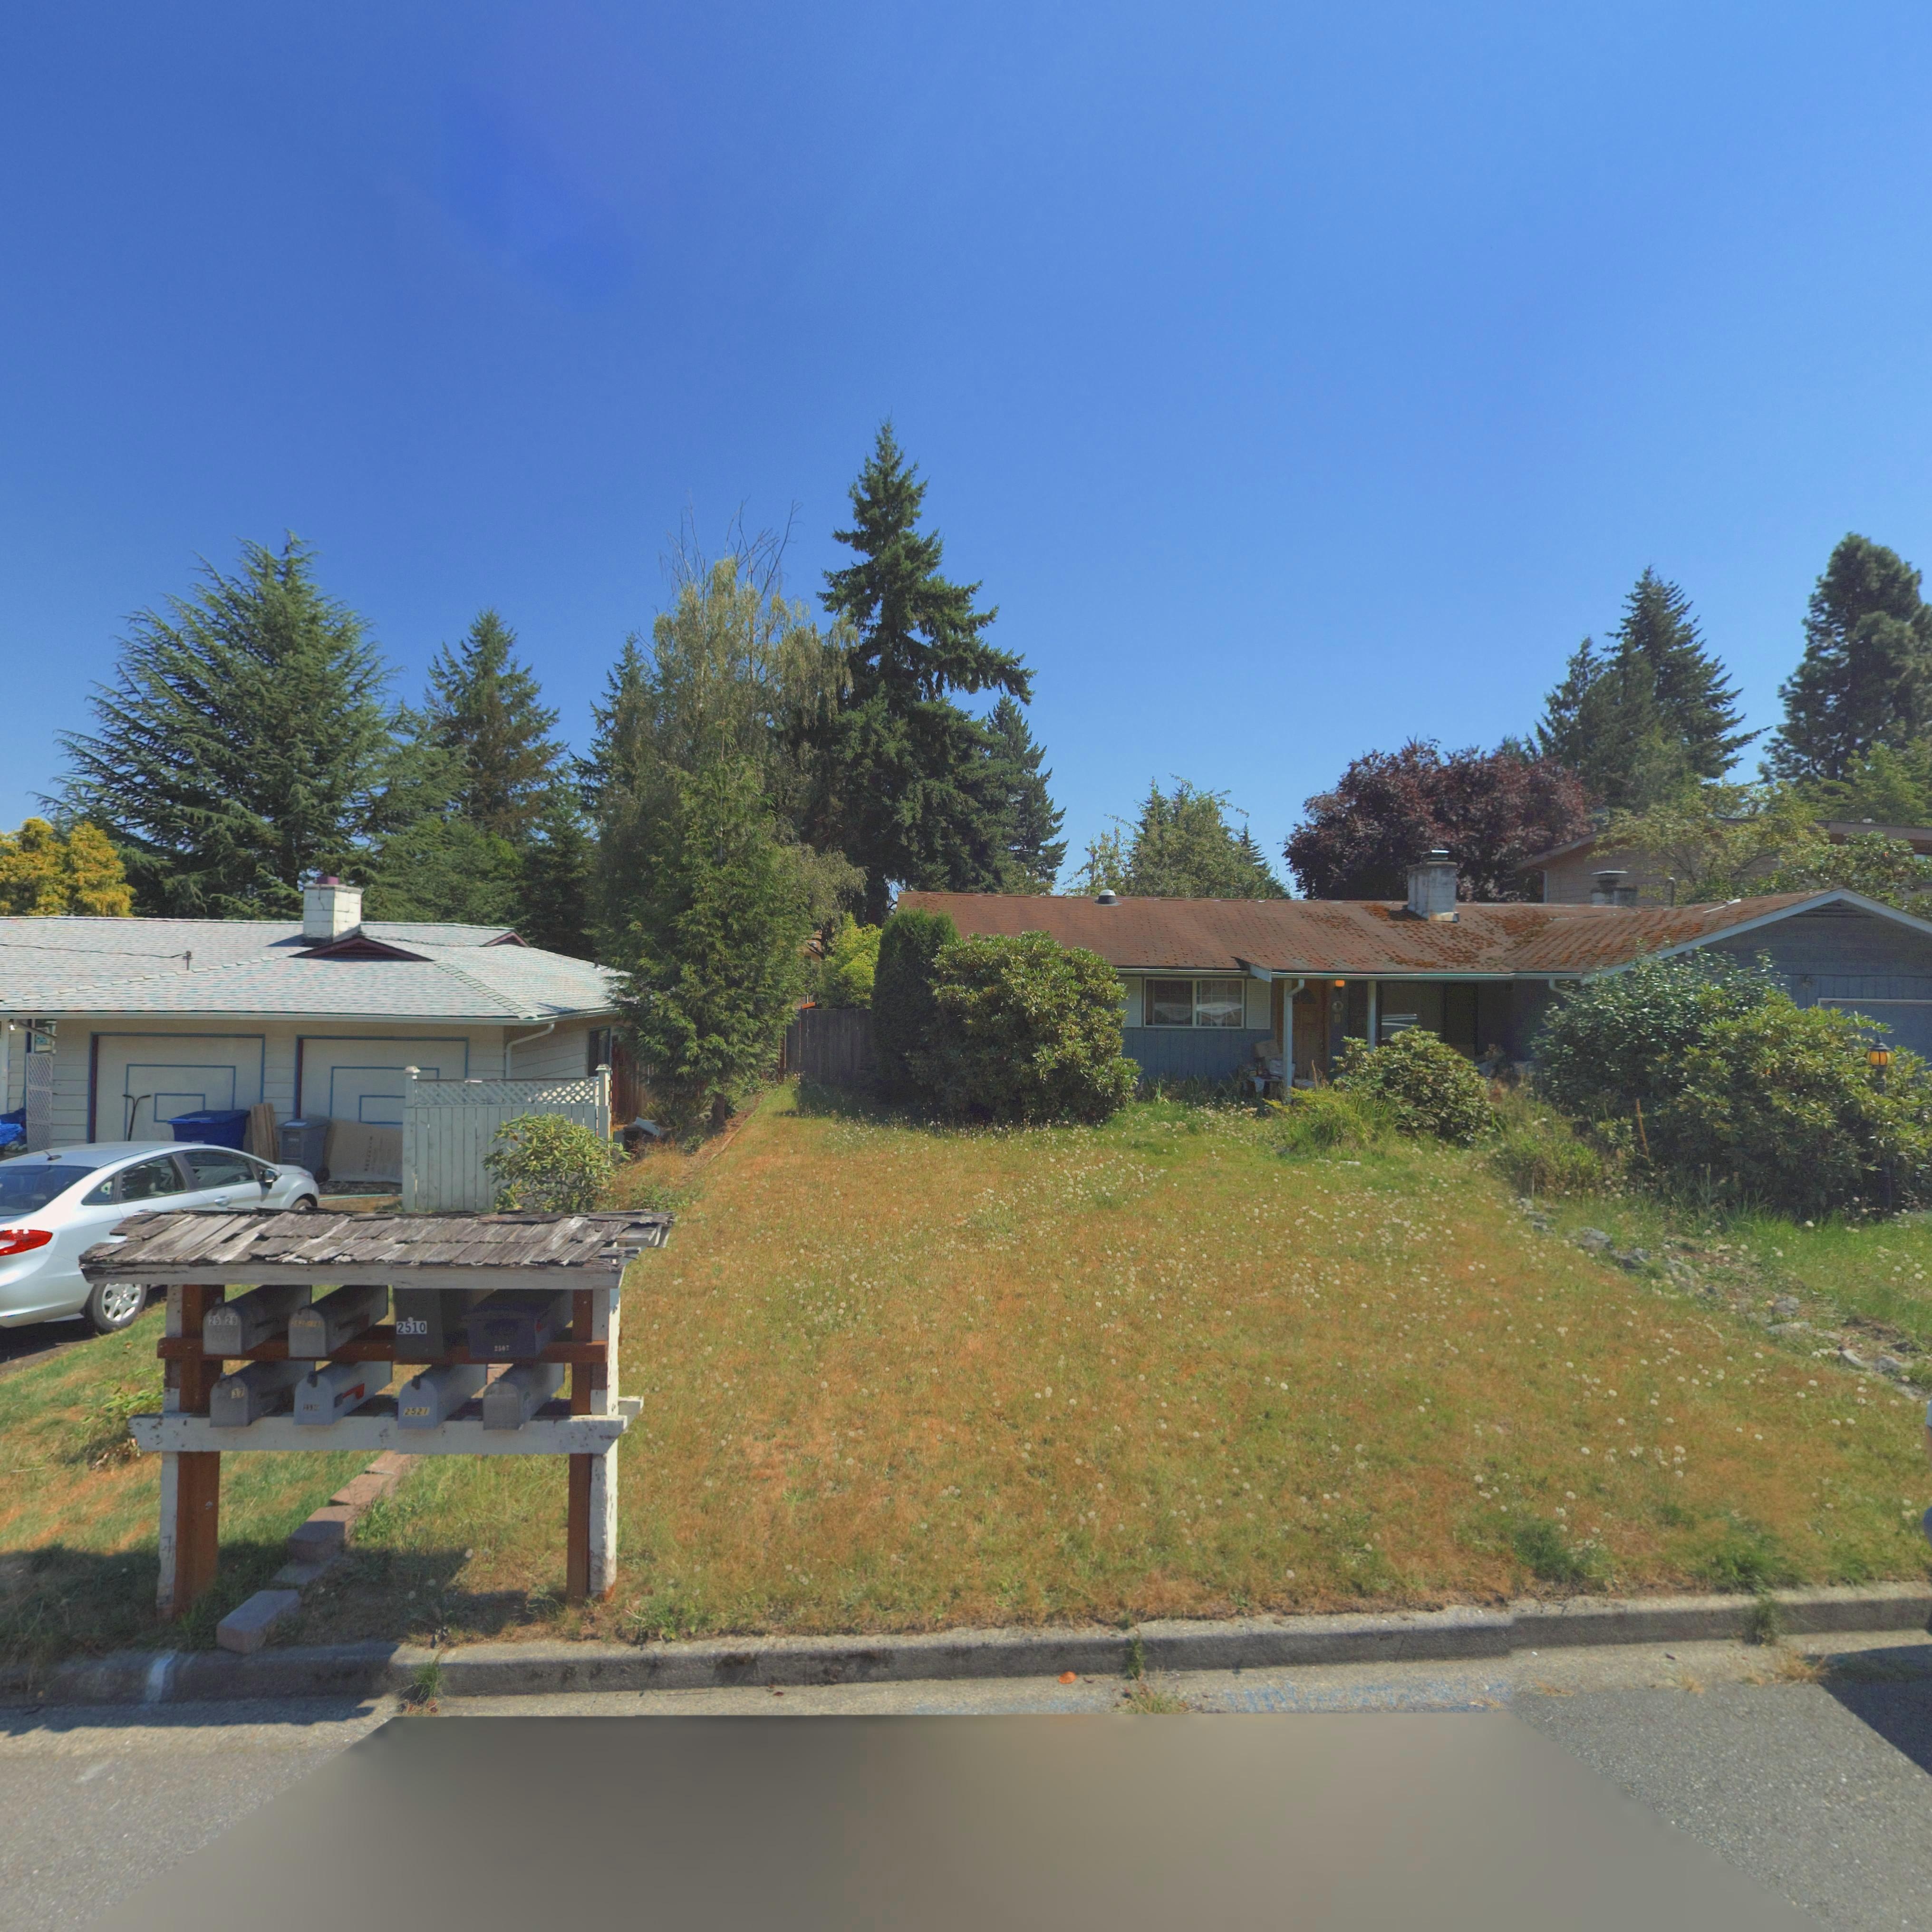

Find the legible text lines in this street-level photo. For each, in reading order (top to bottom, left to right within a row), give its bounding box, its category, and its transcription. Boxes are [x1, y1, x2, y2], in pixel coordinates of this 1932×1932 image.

[396, 1320, 426, 1335] StreetNumber: 2510
[404, 1407, 427, 1416] StreetNumber: 2521